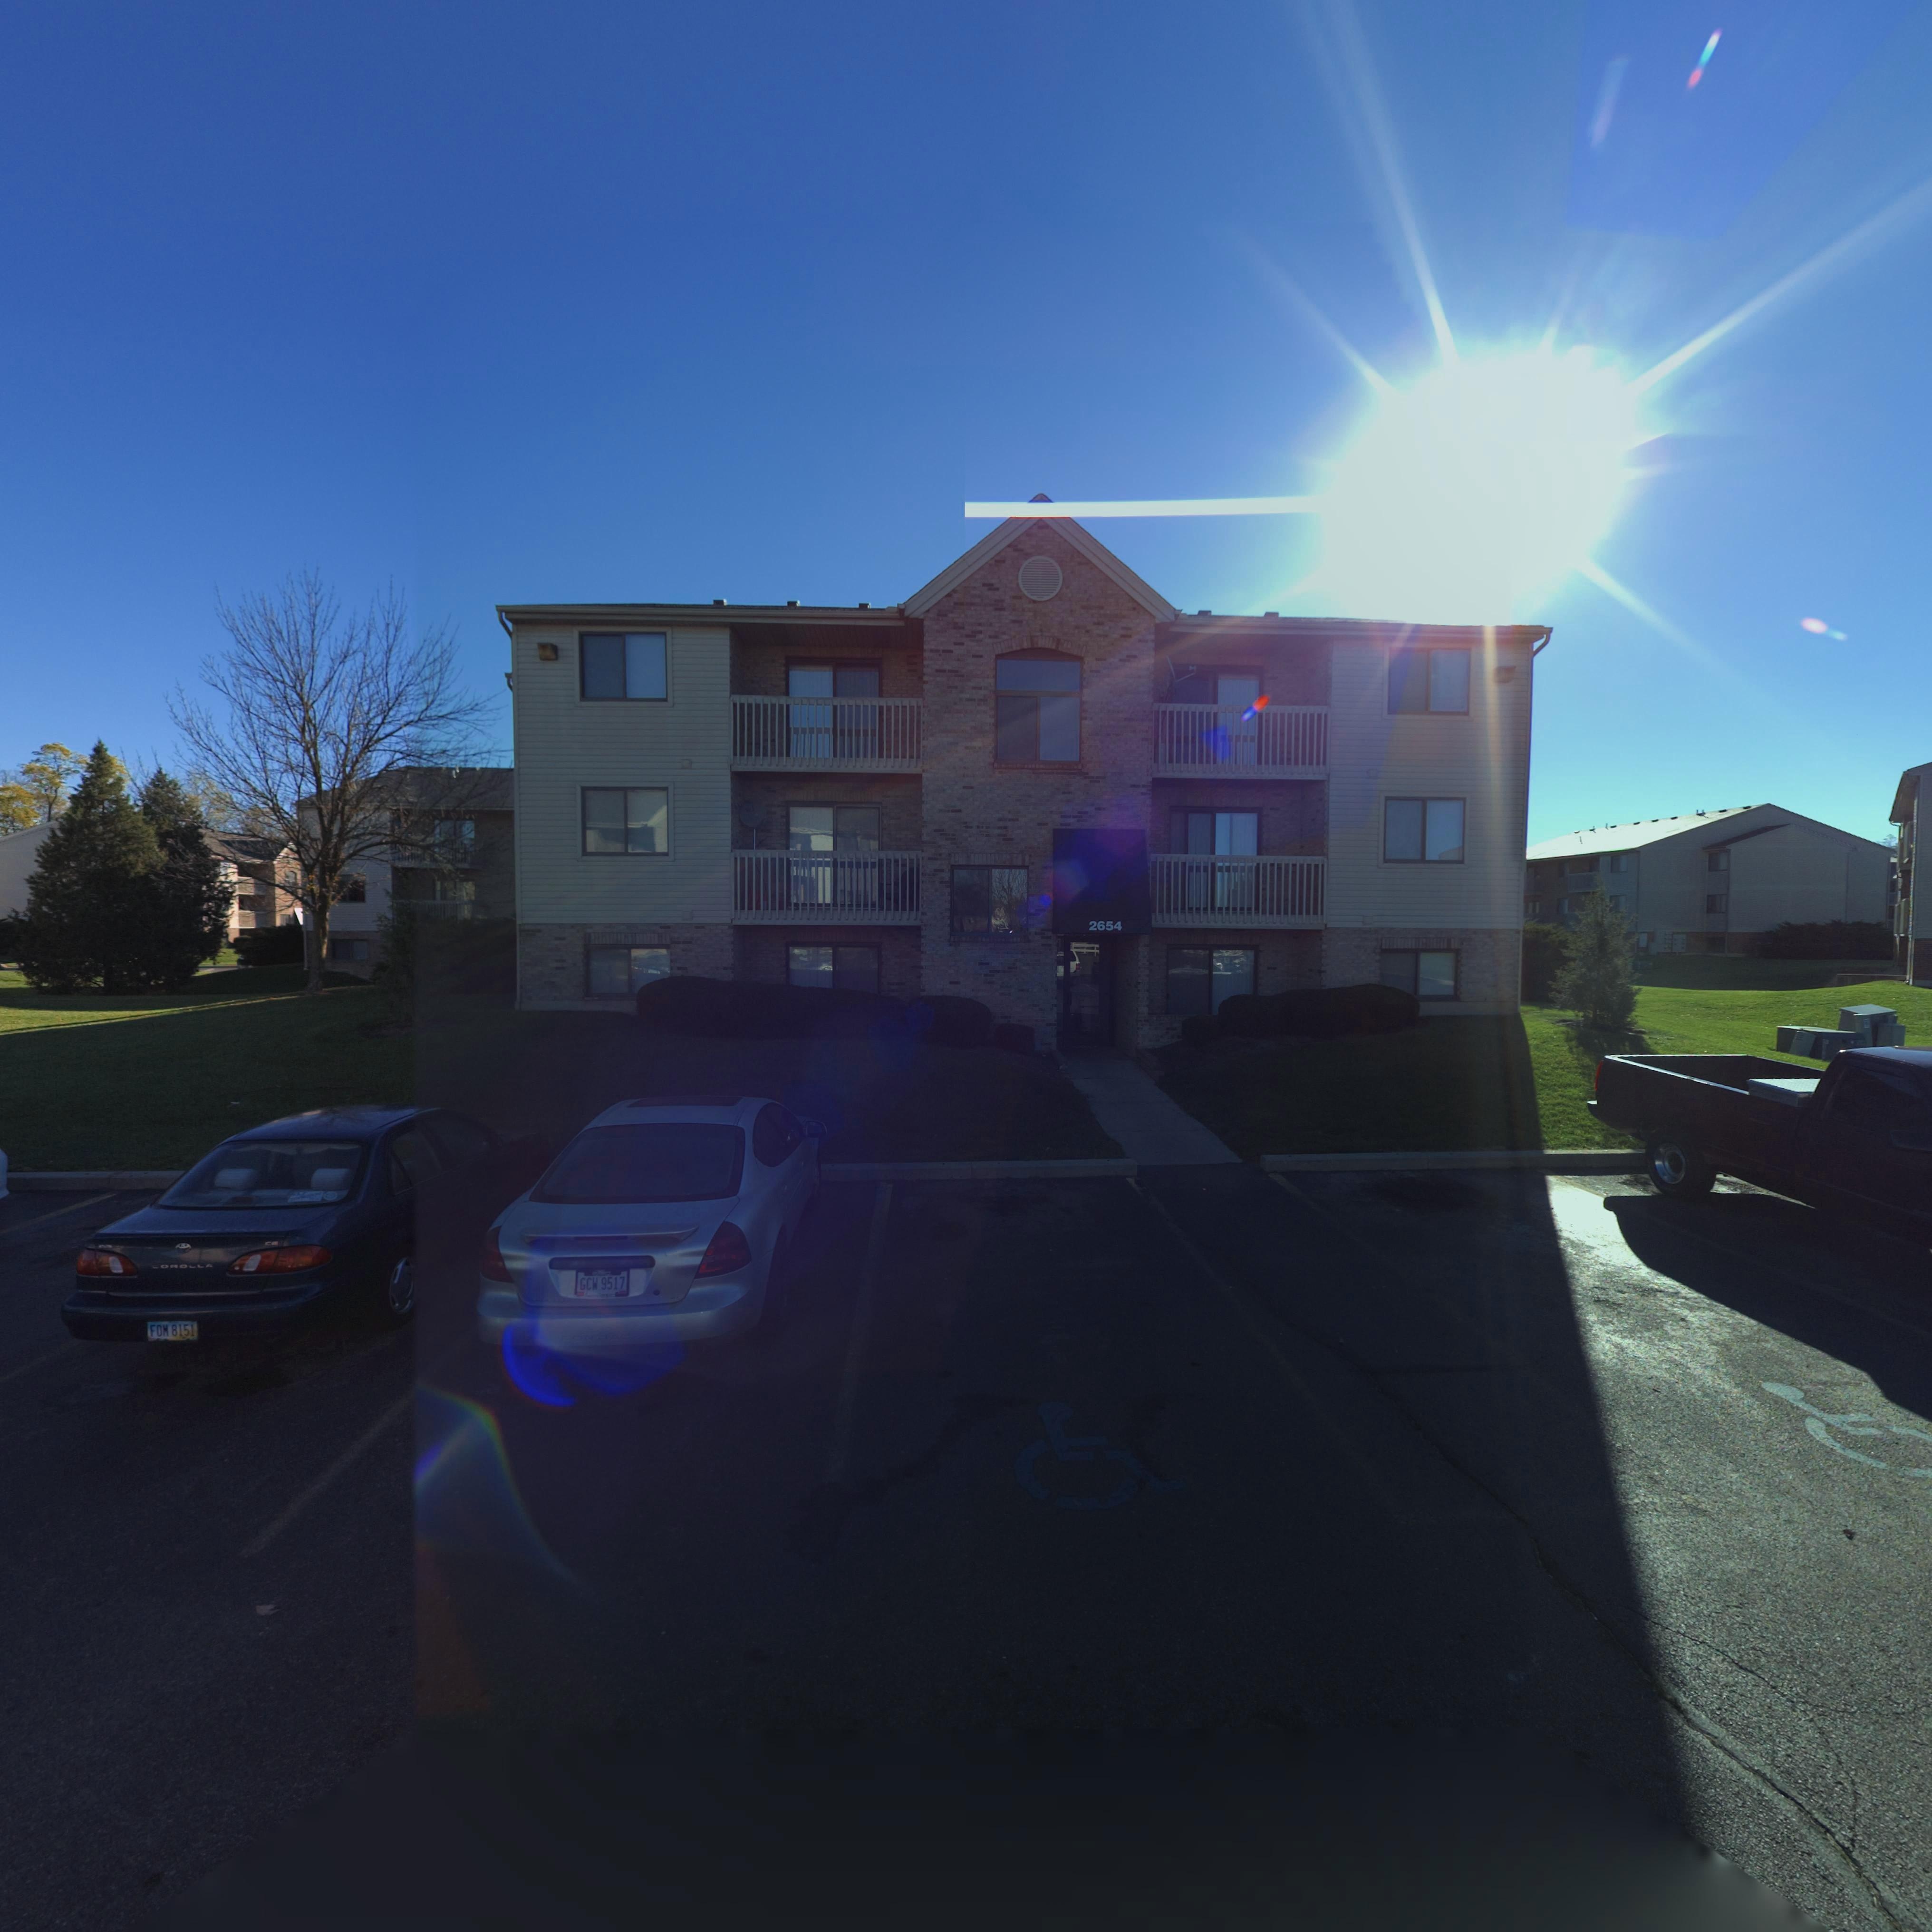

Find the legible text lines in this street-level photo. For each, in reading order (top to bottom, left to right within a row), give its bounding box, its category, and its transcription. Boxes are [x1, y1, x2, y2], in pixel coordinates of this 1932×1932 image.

[1088, 920, 1123, 932] StreetNumber: 2654